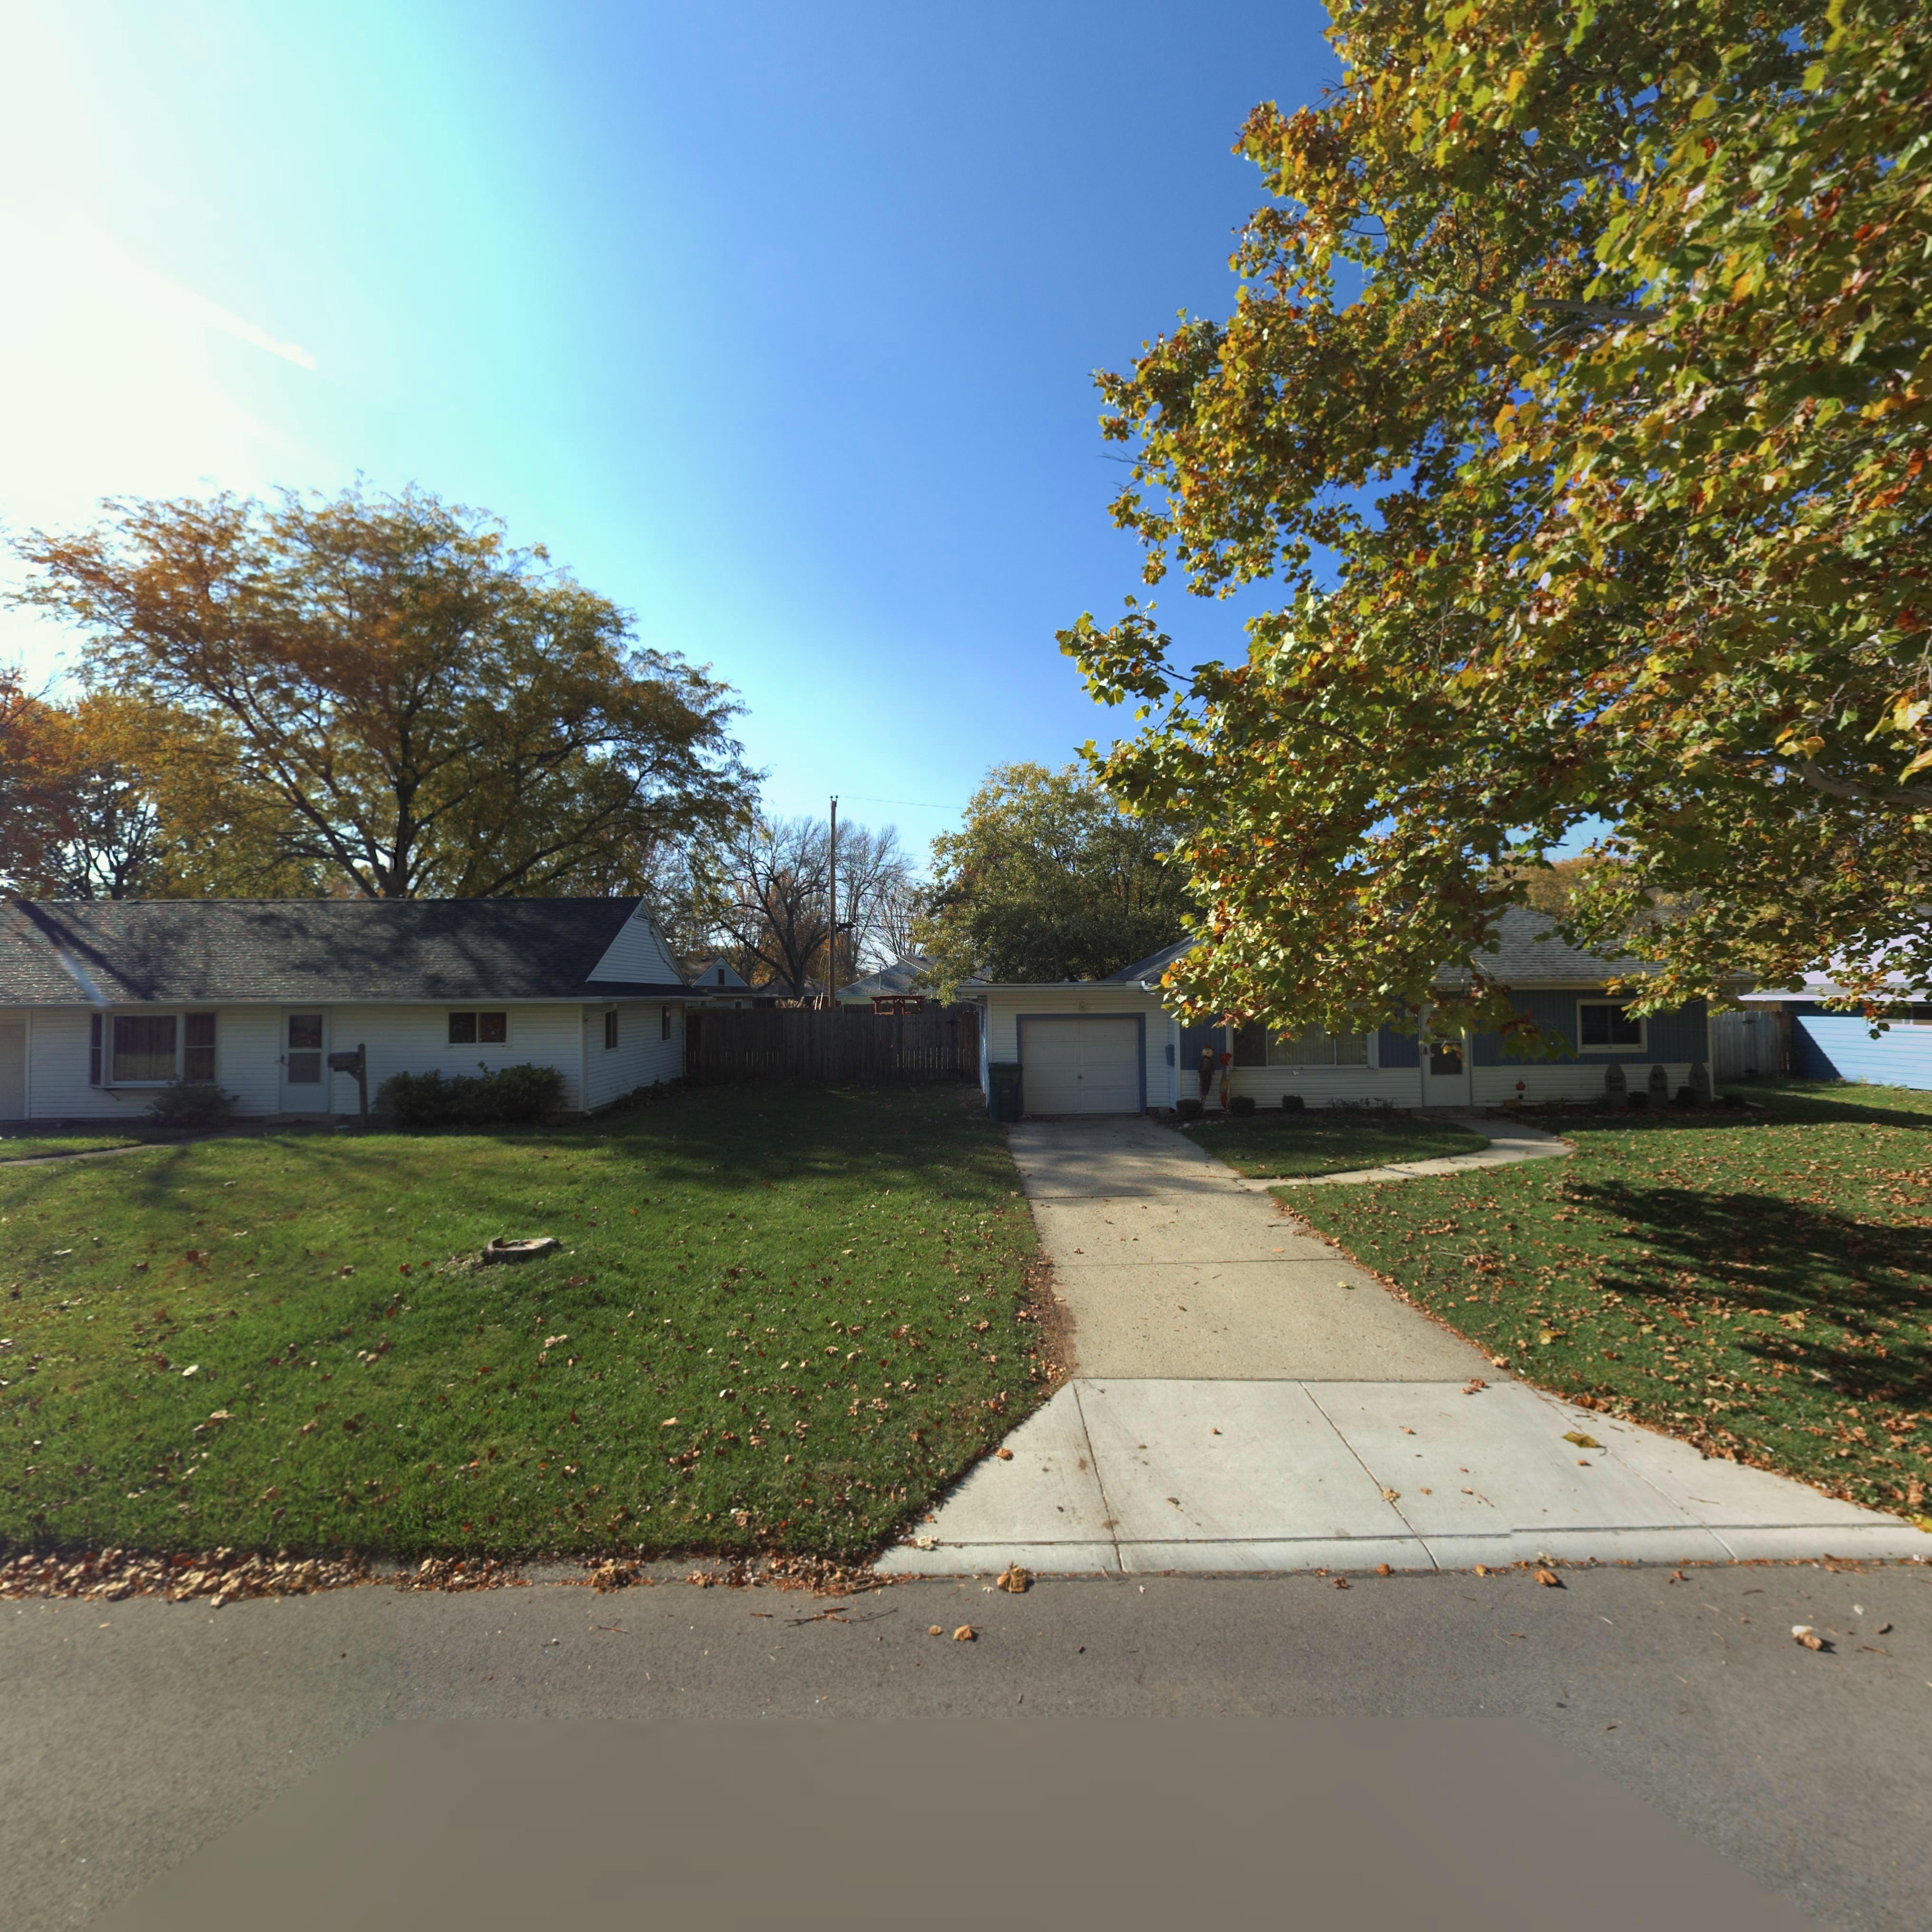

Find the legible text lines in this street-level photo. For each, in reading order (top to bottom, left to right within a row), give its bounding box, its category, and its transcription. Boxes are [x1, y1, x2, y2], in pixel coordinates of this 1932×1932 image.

[1607, 1075, 1623, 1082] None: Izzy
[1652, 1072, 1664, 1080] None: M.T.
[1693, 1072, 1705, 1079] None: Rest
[1609, 1084, 1624, 1091] None: Dead
[1650, 1083, 1665, 1090] None: Tomb
[1696, 1080, 1703, 1087] None: In
[1693, 1087, 1707, 1095] None: Pieces